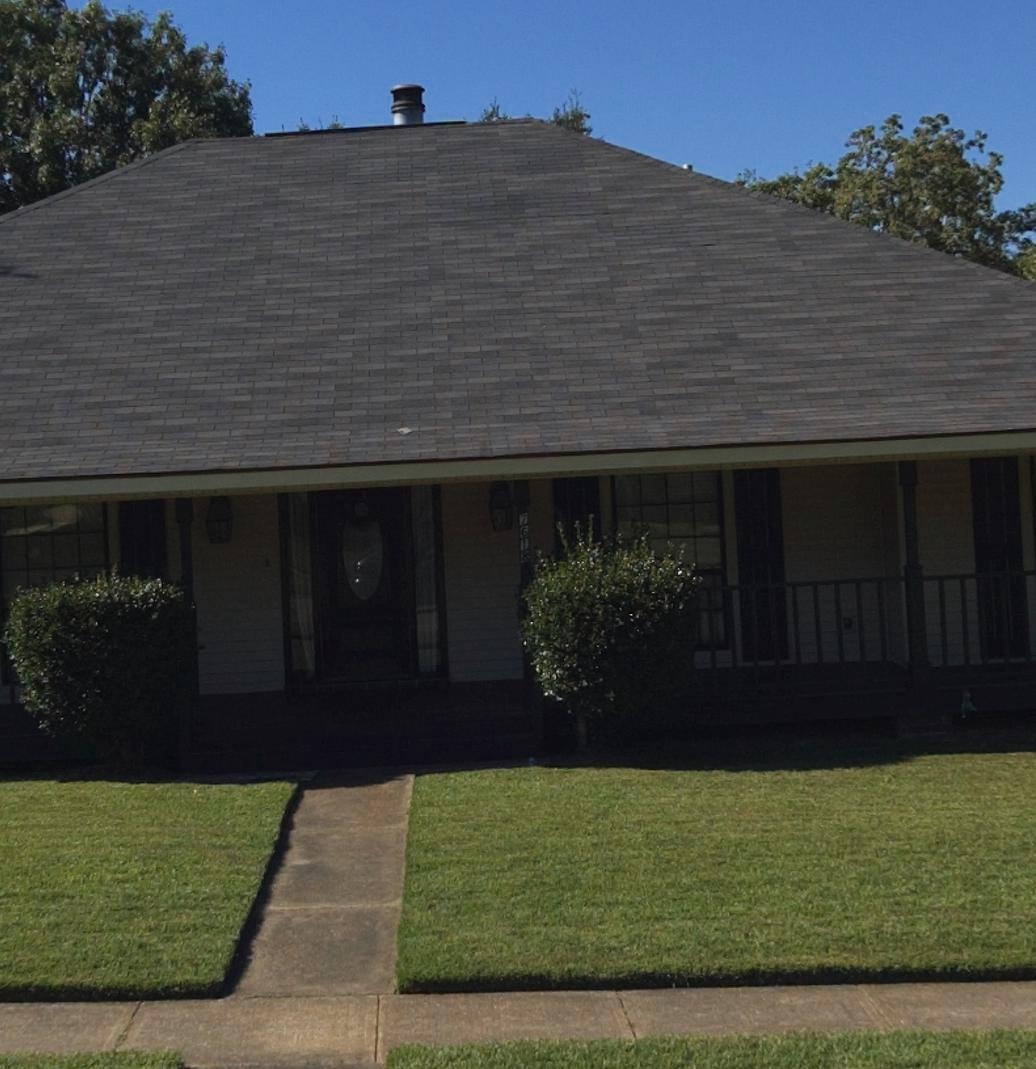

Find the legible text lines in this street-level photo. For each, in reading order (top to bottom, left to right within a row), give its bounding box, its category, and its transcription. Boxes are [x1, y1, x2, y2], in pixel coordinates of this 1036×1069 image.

[519, 513, 529, 564] StreetNumber: 7618